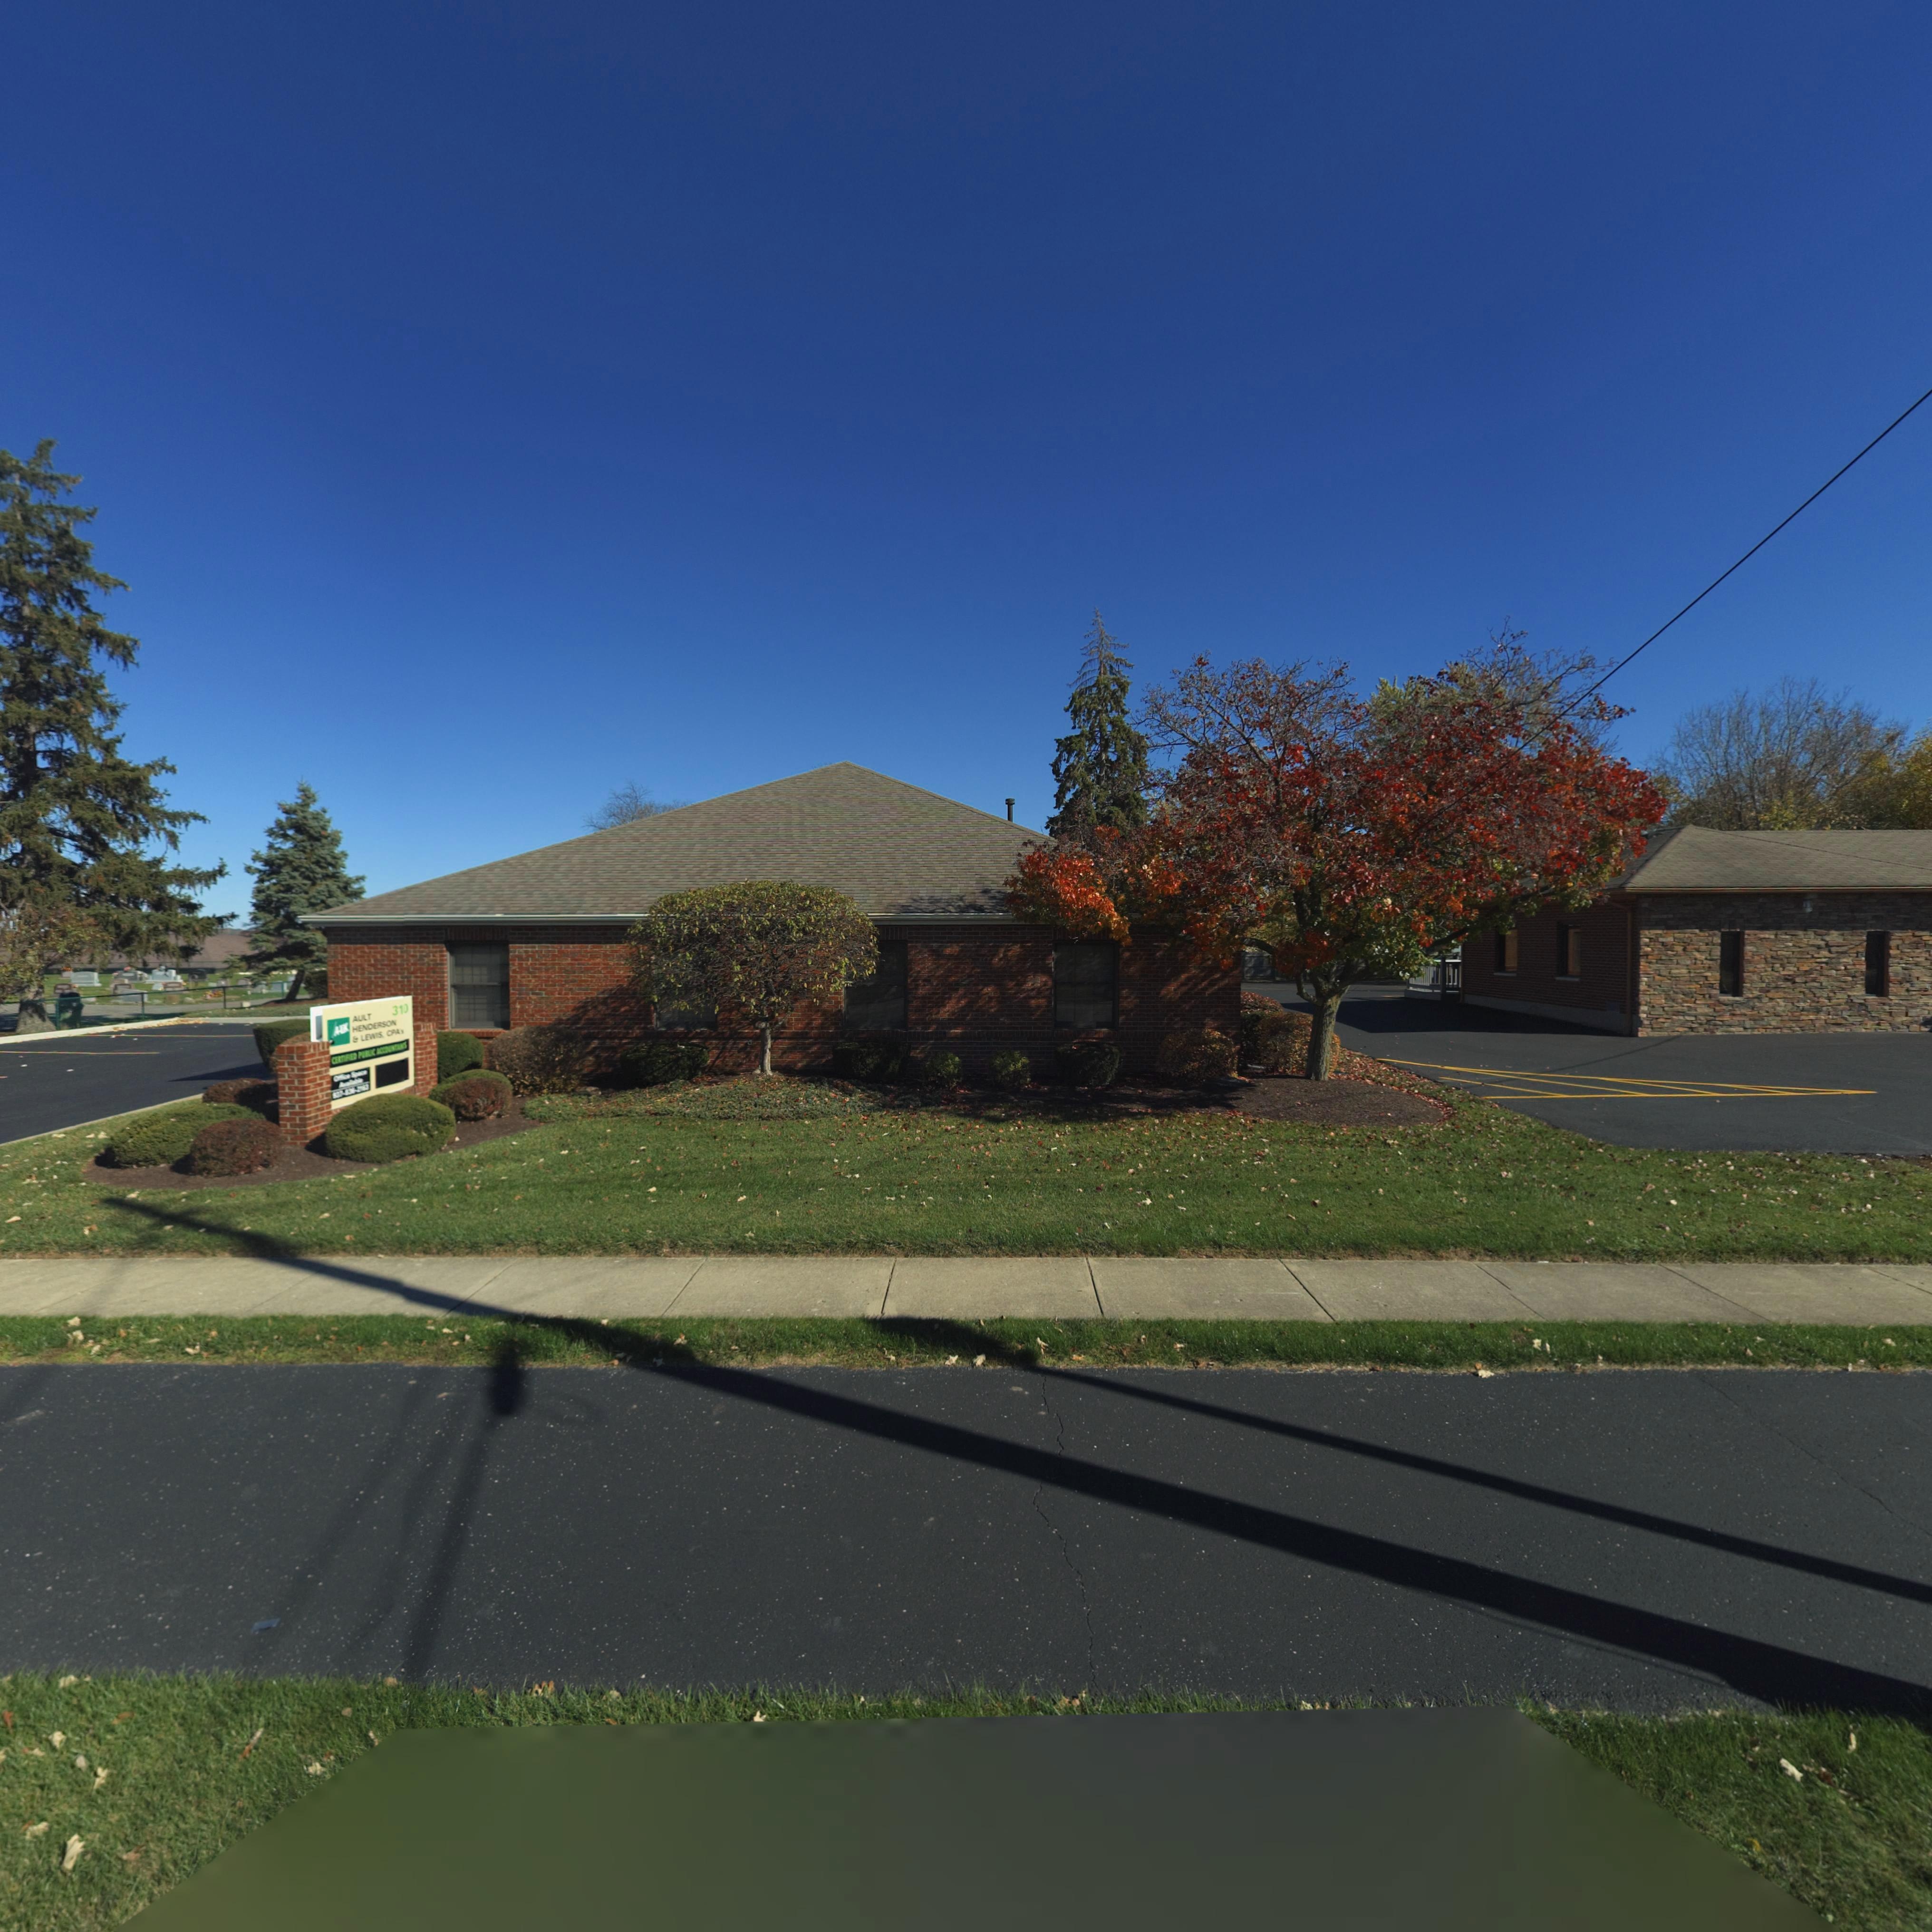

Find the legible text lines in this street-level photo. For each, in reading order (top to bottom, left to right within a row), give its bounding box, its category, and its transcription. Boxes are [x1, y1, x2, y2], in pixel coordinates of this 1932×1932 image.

[351, 1012, 373, 1024] BusinessName: AULT
[391, 1002, 410, 1017] StreetNumber: 310
[333, 1024, 341, 1037] None: A
[350, 1018, 397, 1034] BusinessName: HENDERSON
[351, 1027, 401, 1044] BusinessName: & LEWIS, CPA
[330, 1040, 408, 1066] None: CERTIFIED PUBLIC ACCOUNTANTS
[332, 1074, 340, 1083] None: O
[331, 1082, 370, 1100] None: 937-*3*-2**3*